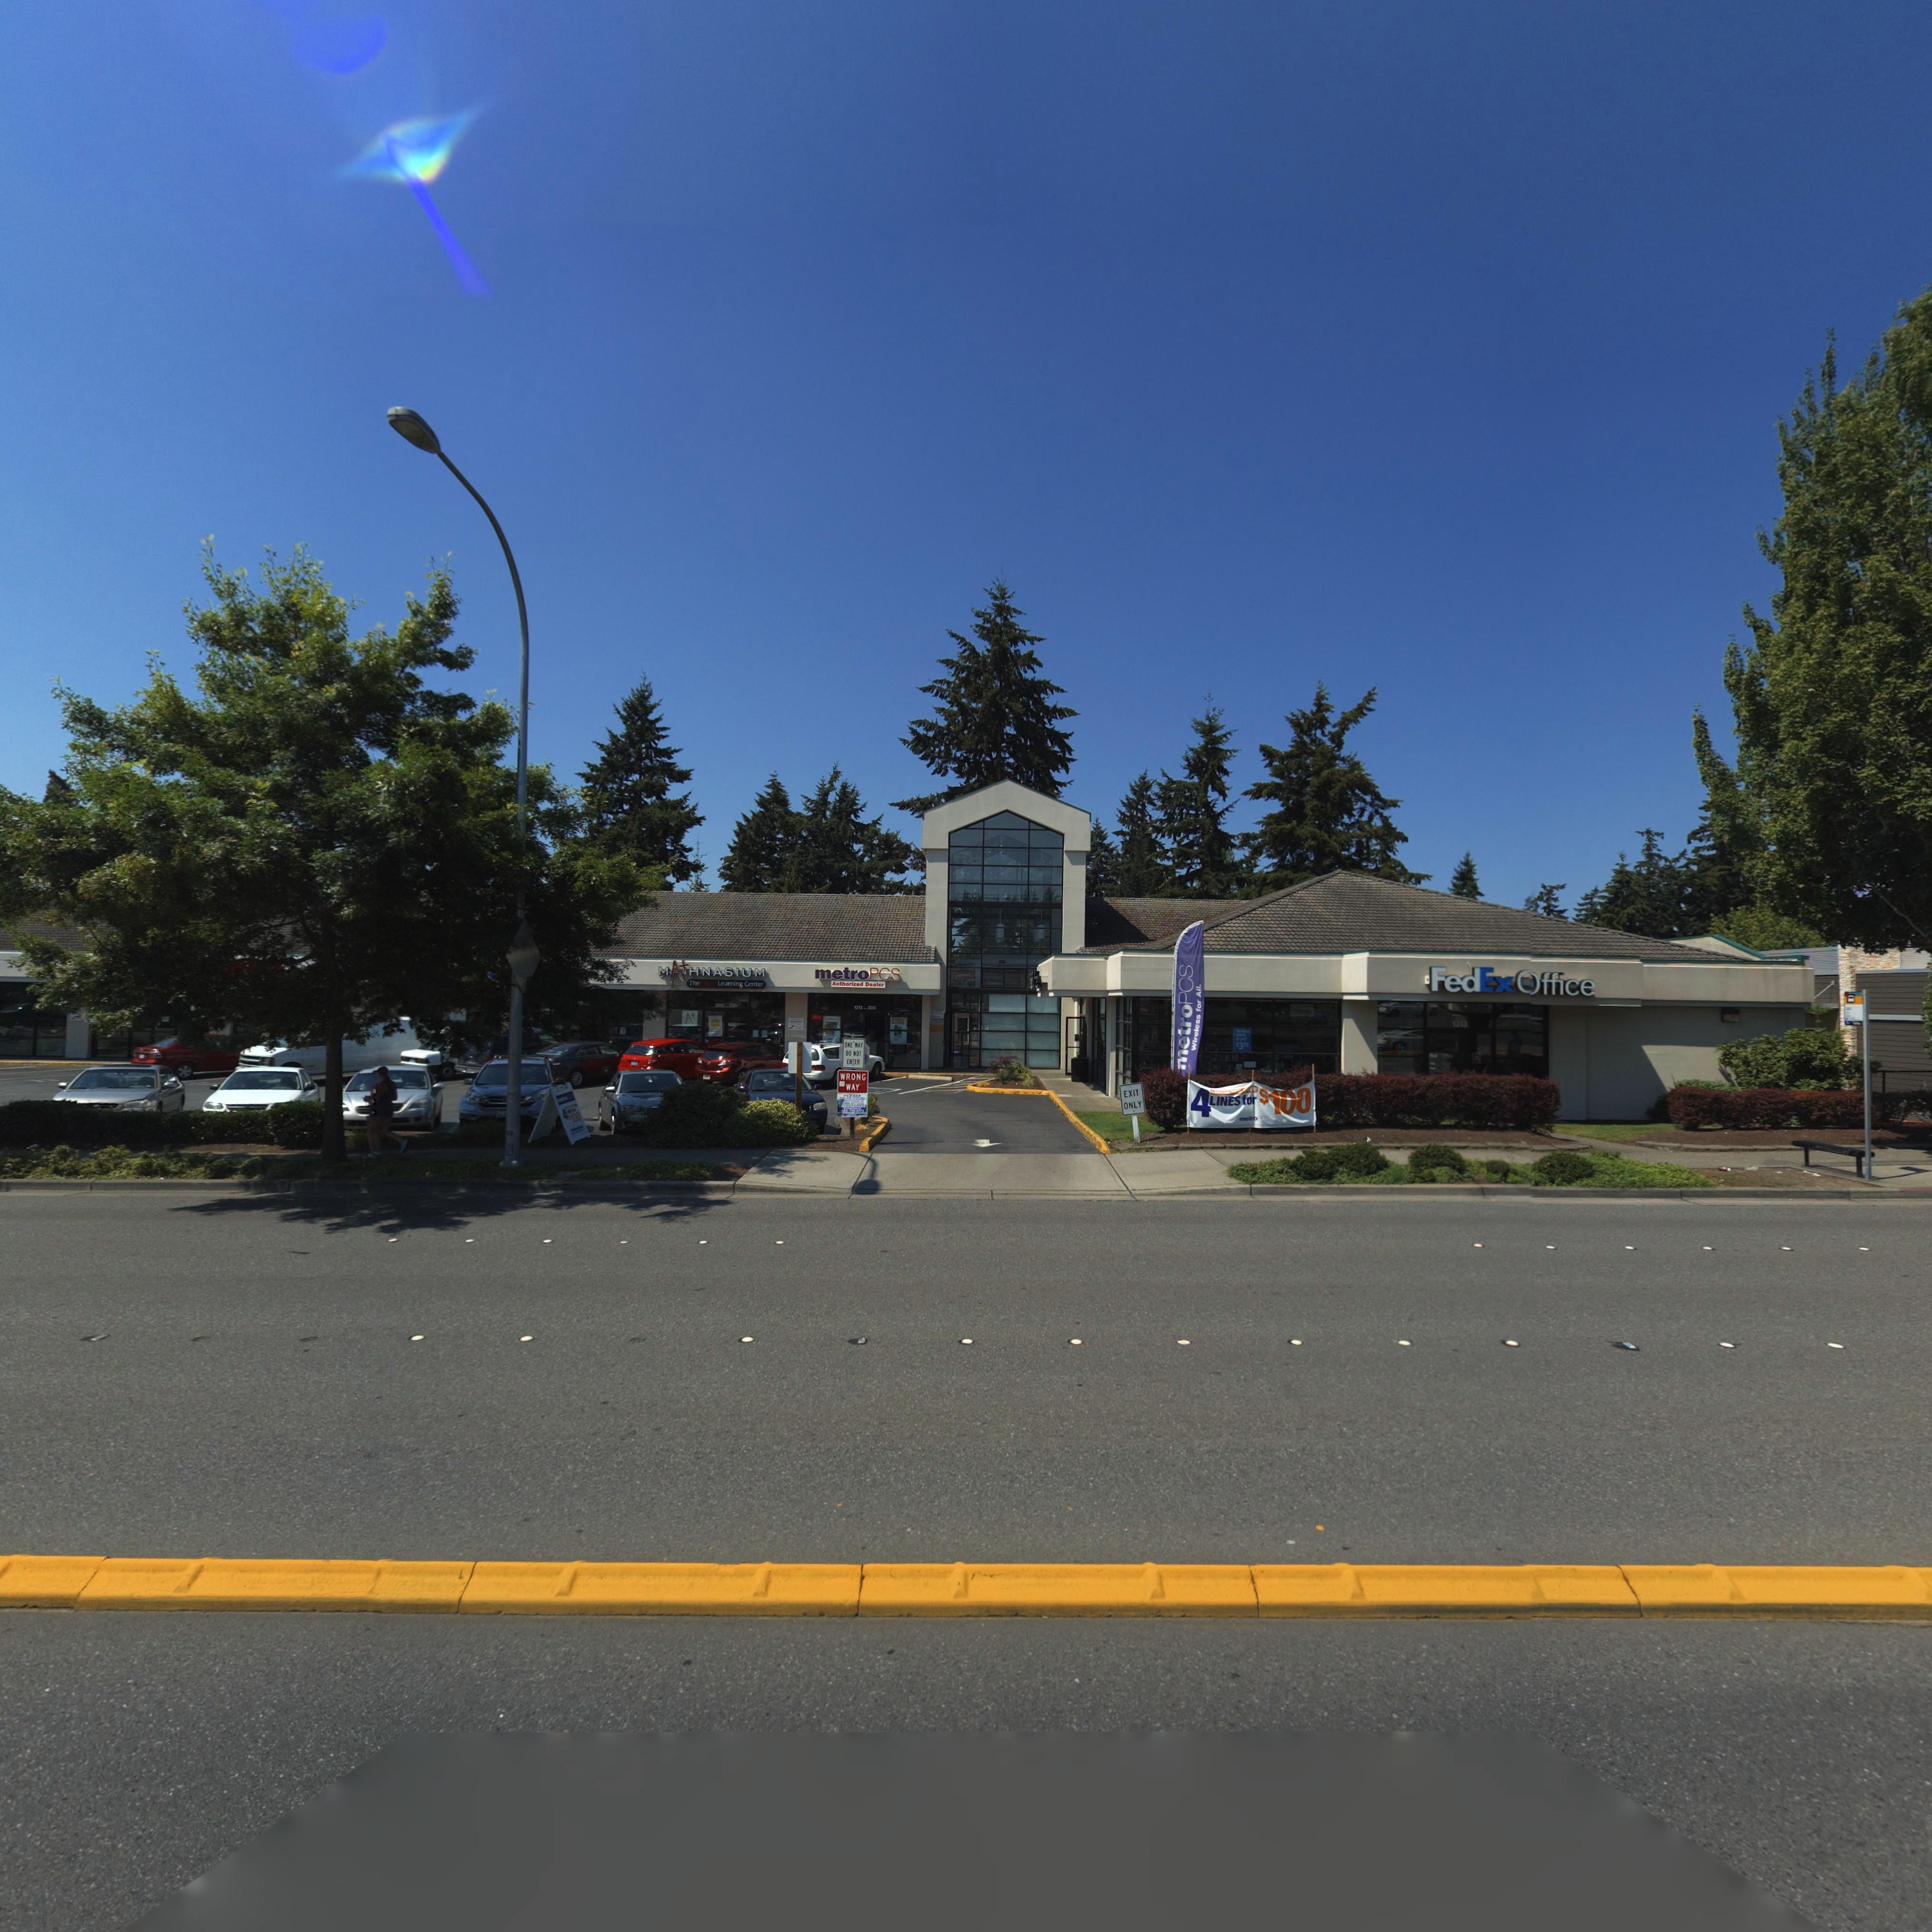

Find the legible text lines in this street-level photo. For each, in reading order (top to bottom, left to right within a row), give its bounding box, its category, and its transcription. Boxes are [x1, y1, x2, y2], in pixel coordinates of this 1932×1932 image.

[657, 957, 772, 985] BusinessName: MATHNASIUM
[813, 967, 903, 982] BusinessName: metroPCS
[832, 980, 886, 987] BusinessName: Authorized Dealer
[1419, 953, 1597, 1003] BusinessName: FedEx Office
[853, 1005, 877, 1010] StreetNumber: 1313-225